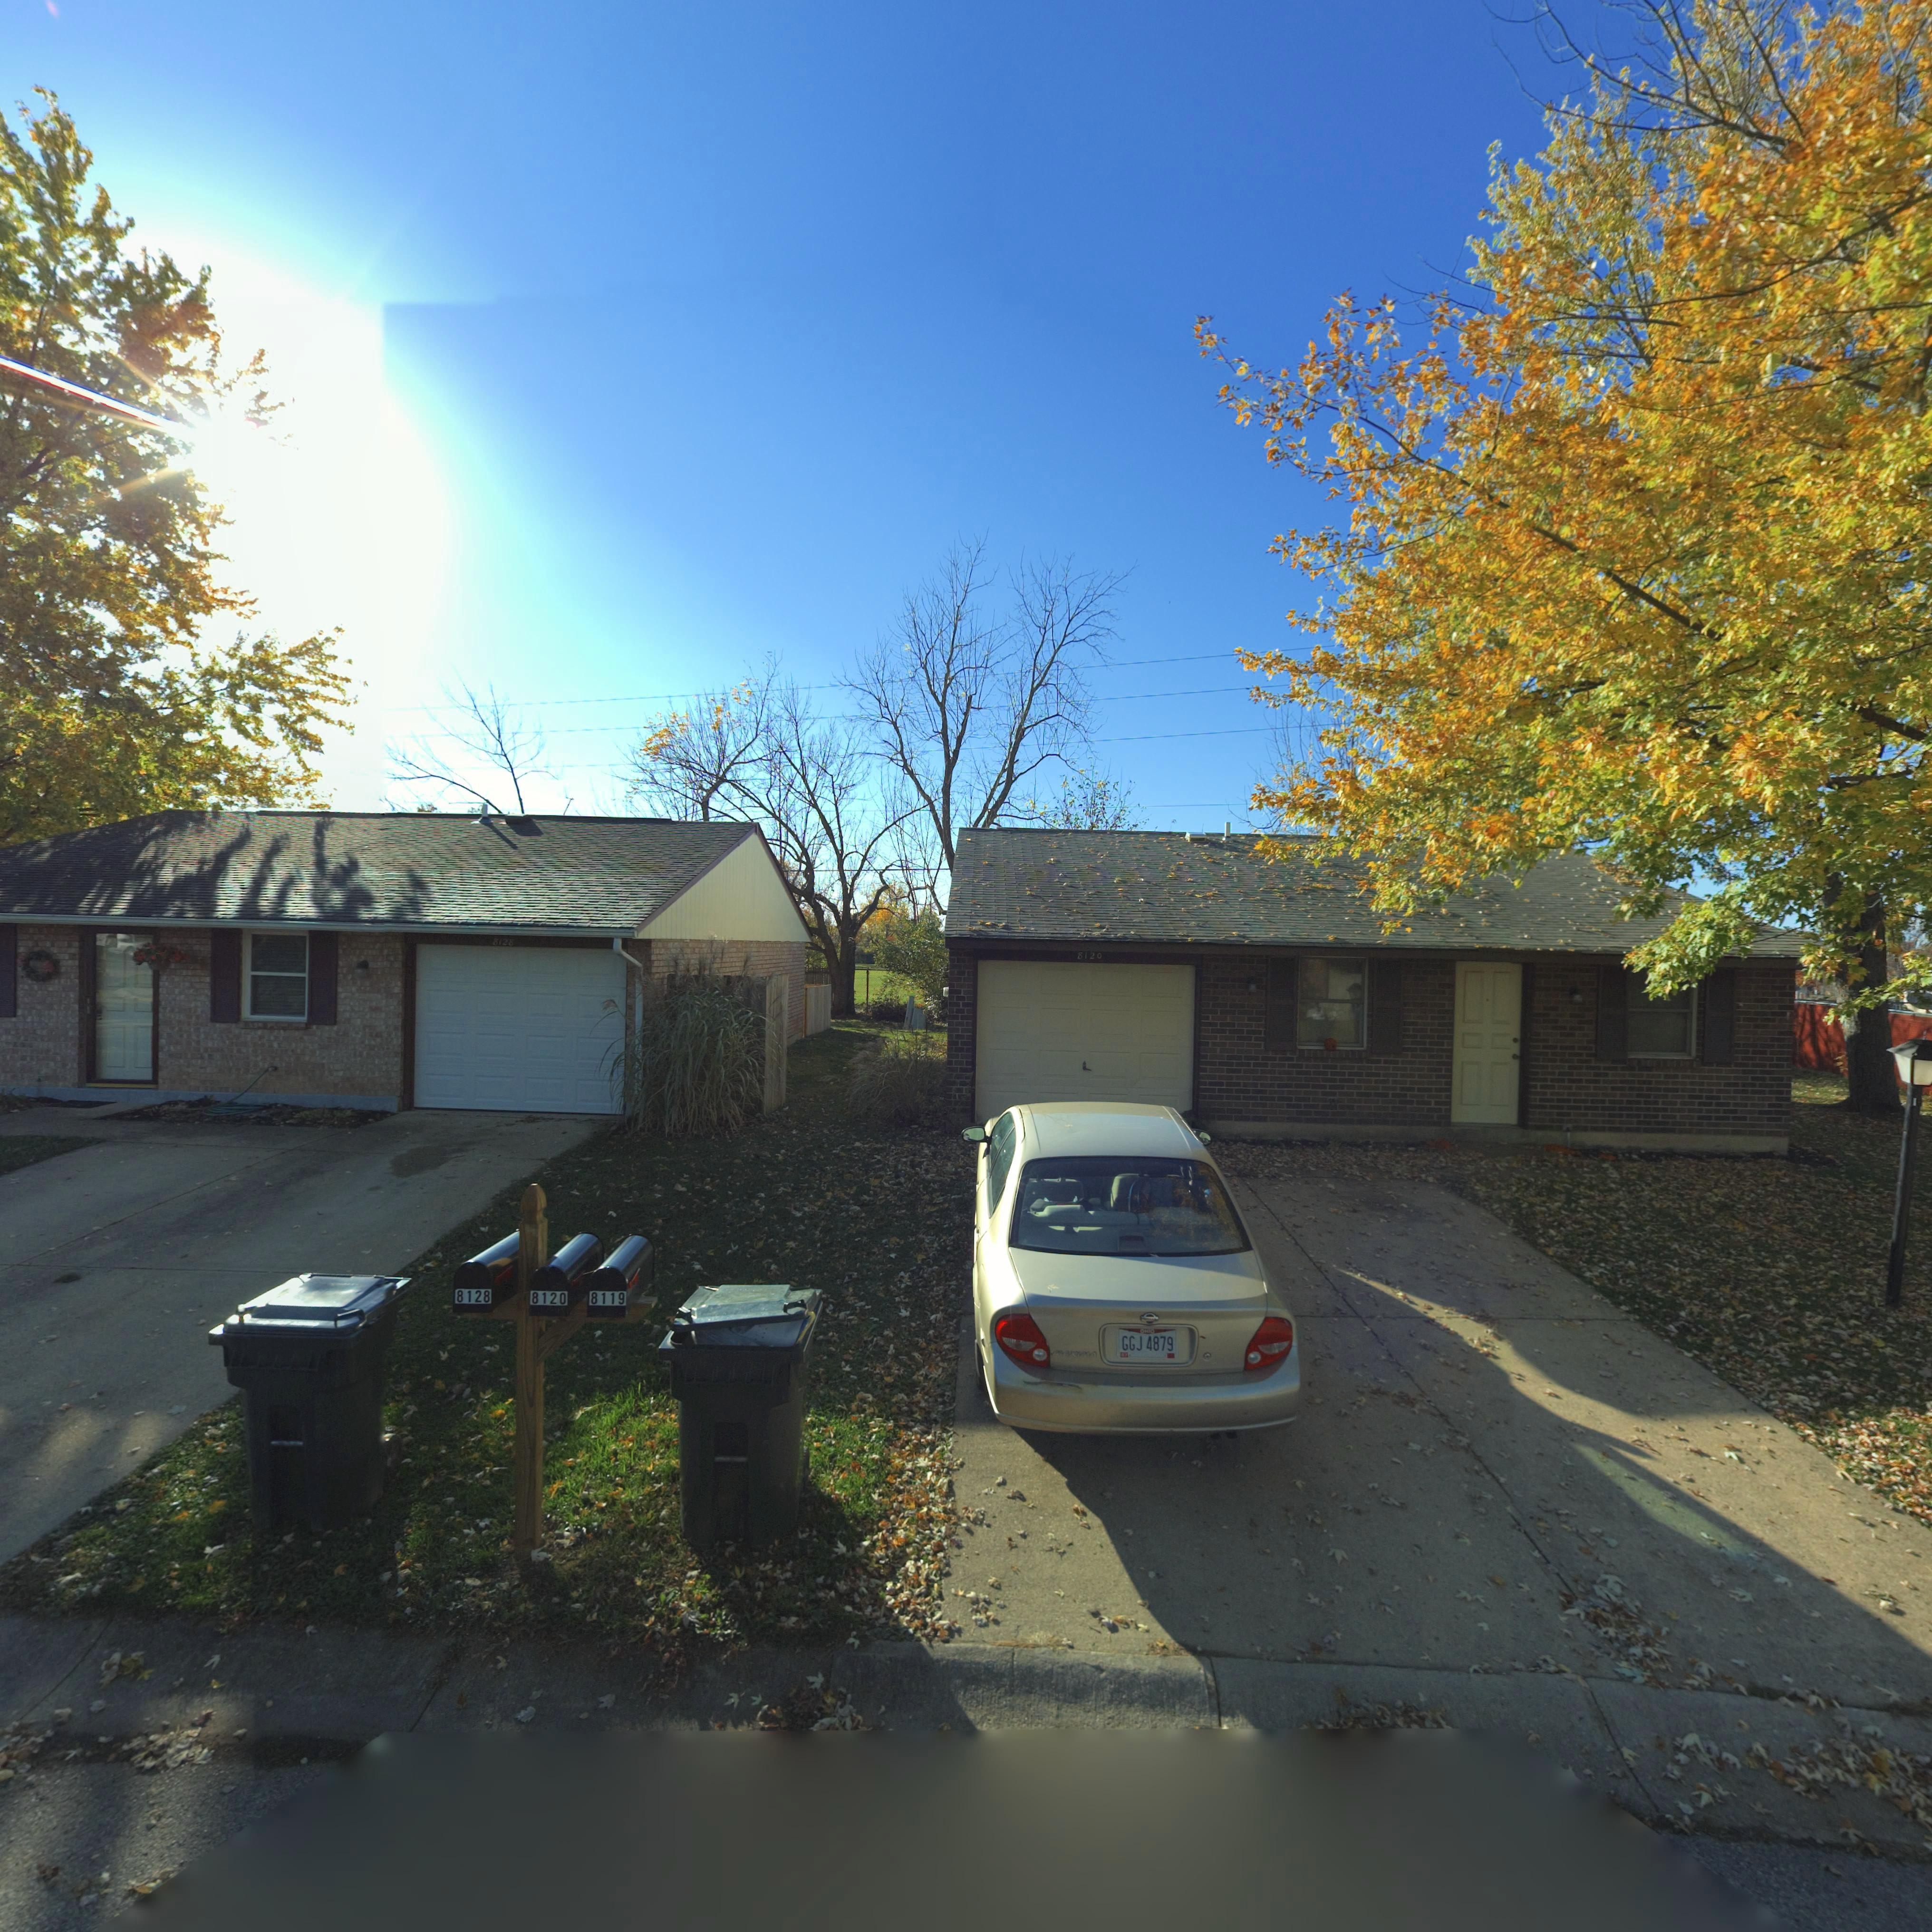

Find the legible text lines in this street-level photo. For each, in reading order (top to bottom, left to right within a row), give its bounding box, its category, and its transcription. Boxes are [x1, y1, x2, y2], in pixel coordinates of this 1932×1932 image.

[491, 937, 515, 947] StreetNumber: 8128
[1076, 951, 1103, 961] StreetNumber: 8120
[455, 1289, 492, 1304] StreetNumber: 8128
[531, 1291, 568, 1306] StreetNumber: 8120
[590, 1291, 626, 1306] StreetNumber: 8119